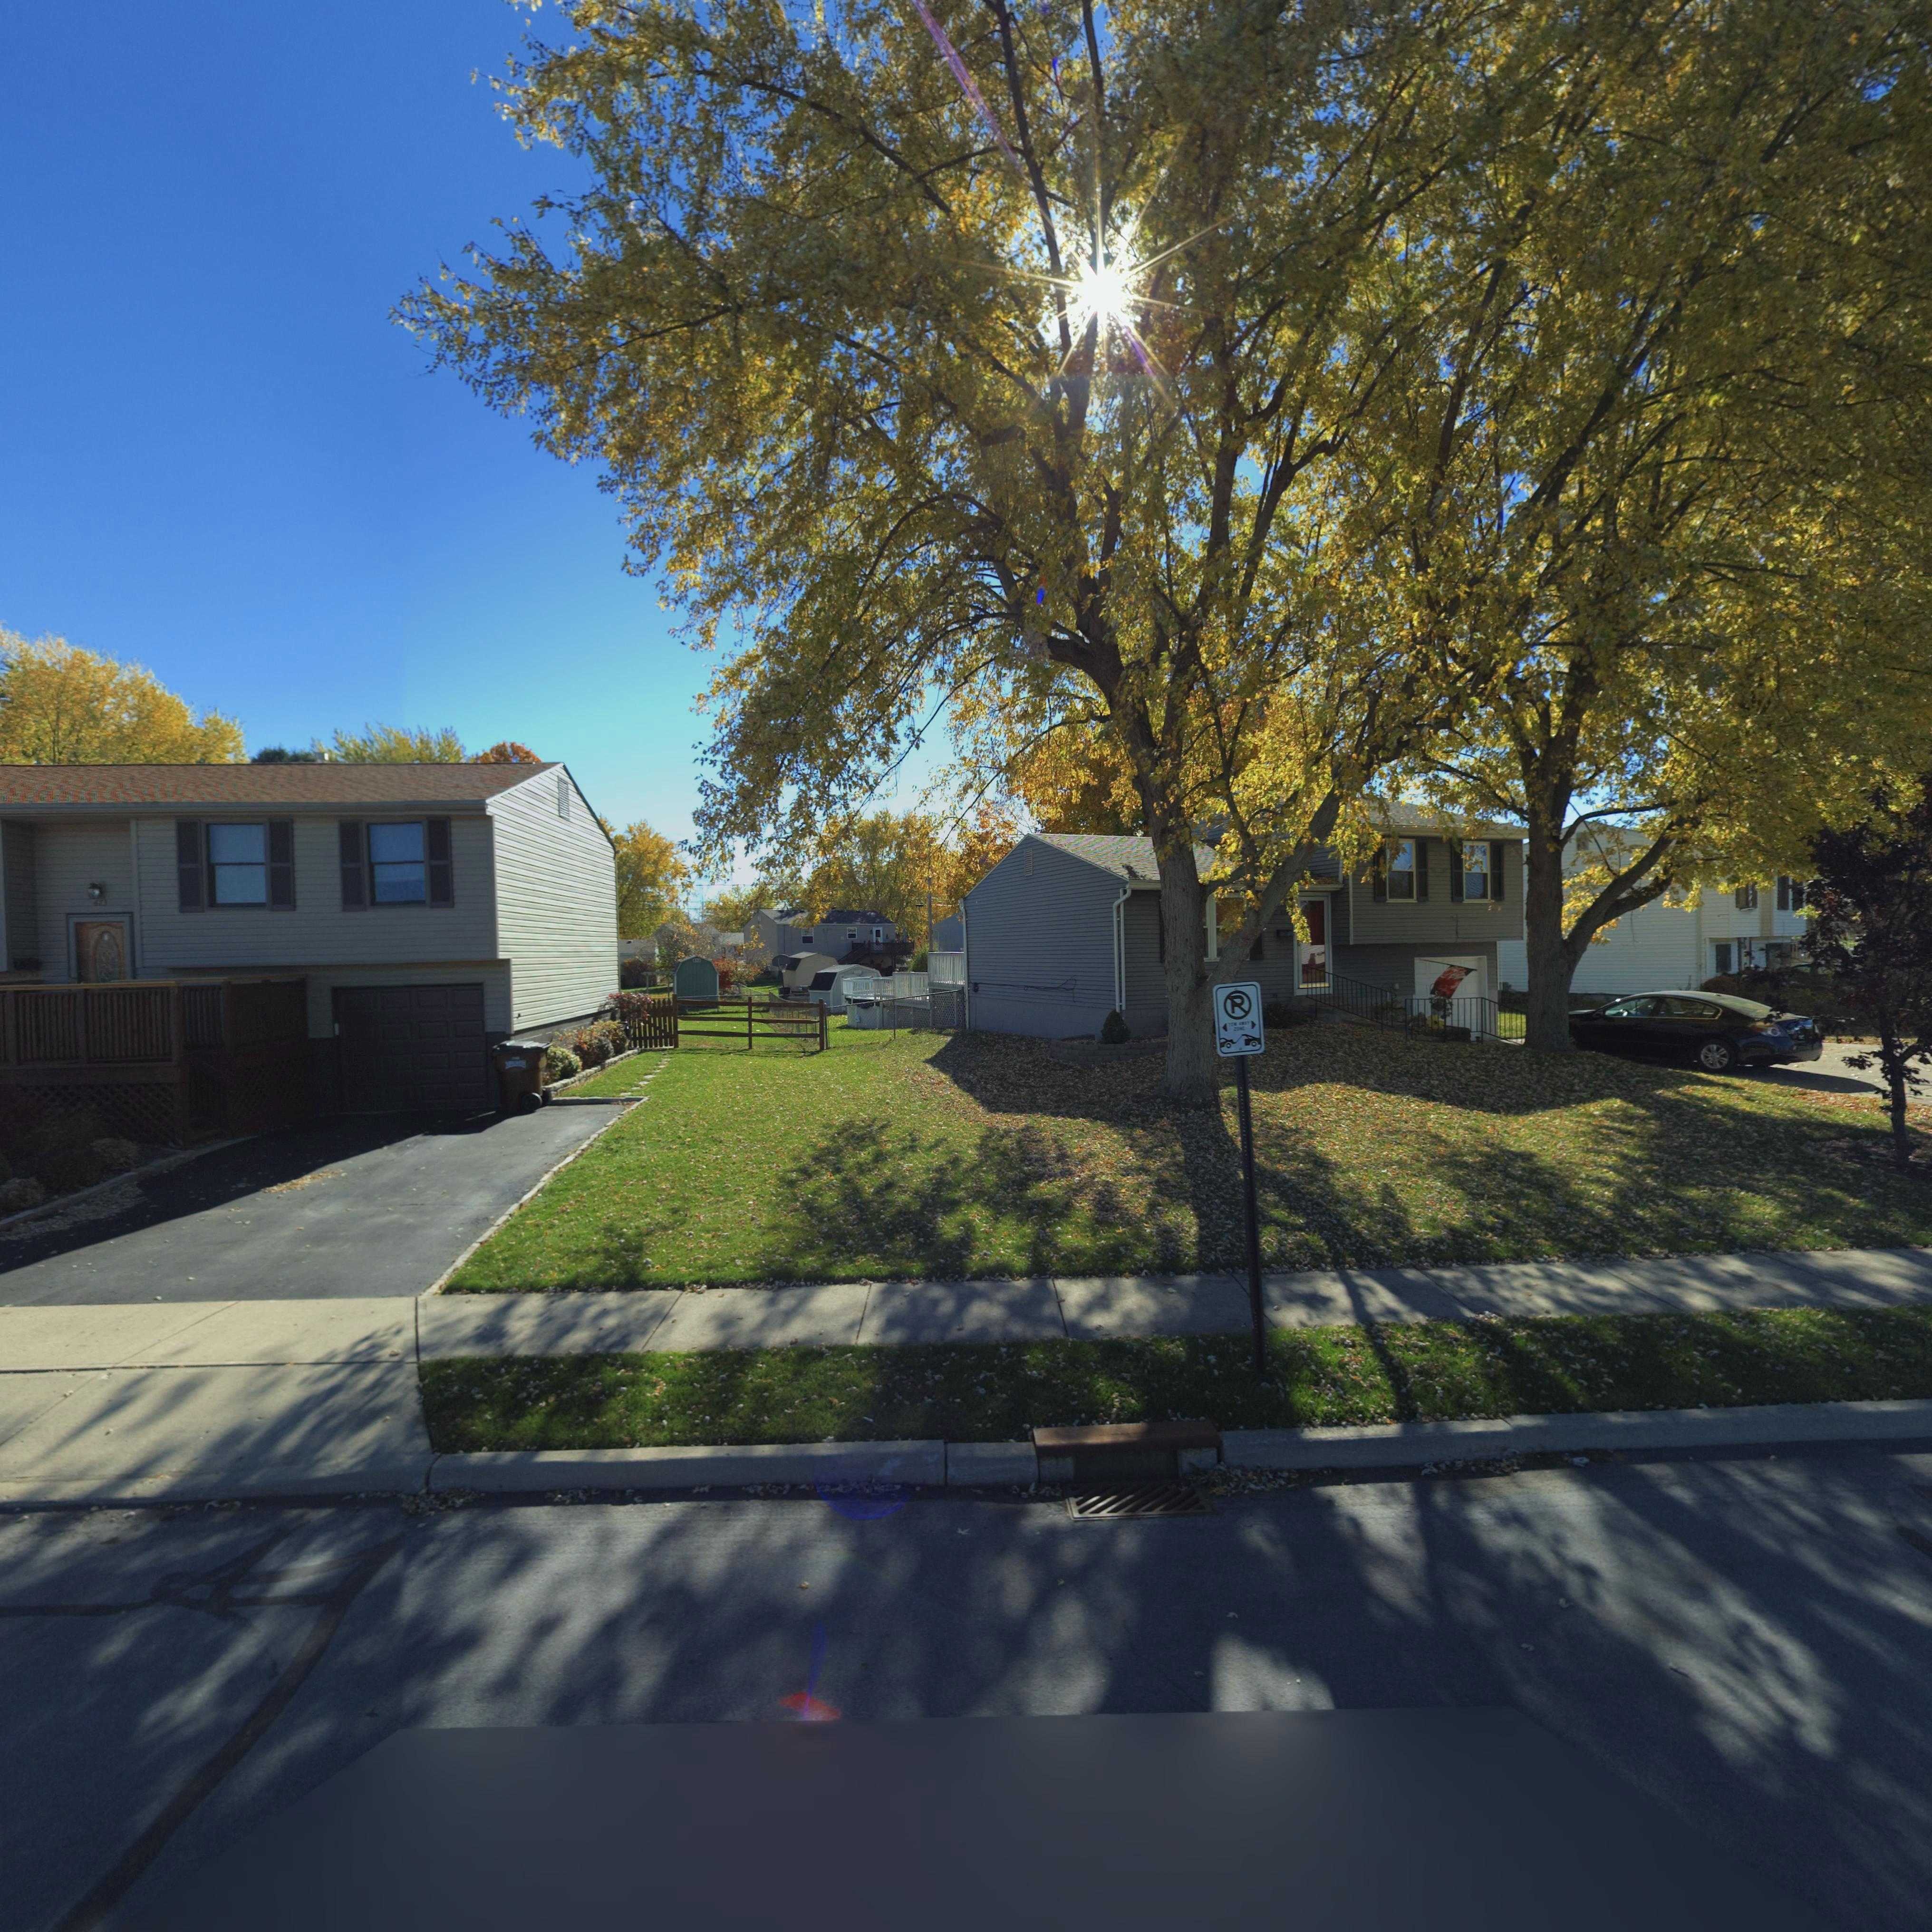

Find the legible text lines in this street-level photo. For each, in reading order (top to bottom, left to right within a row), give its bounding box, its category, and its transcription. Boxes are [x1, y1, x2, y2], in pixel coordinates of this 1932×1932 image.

[92, 898, 108, 907] StreetNumber: 673
[1279, 909, 1287, 915] StreetNumber: 67